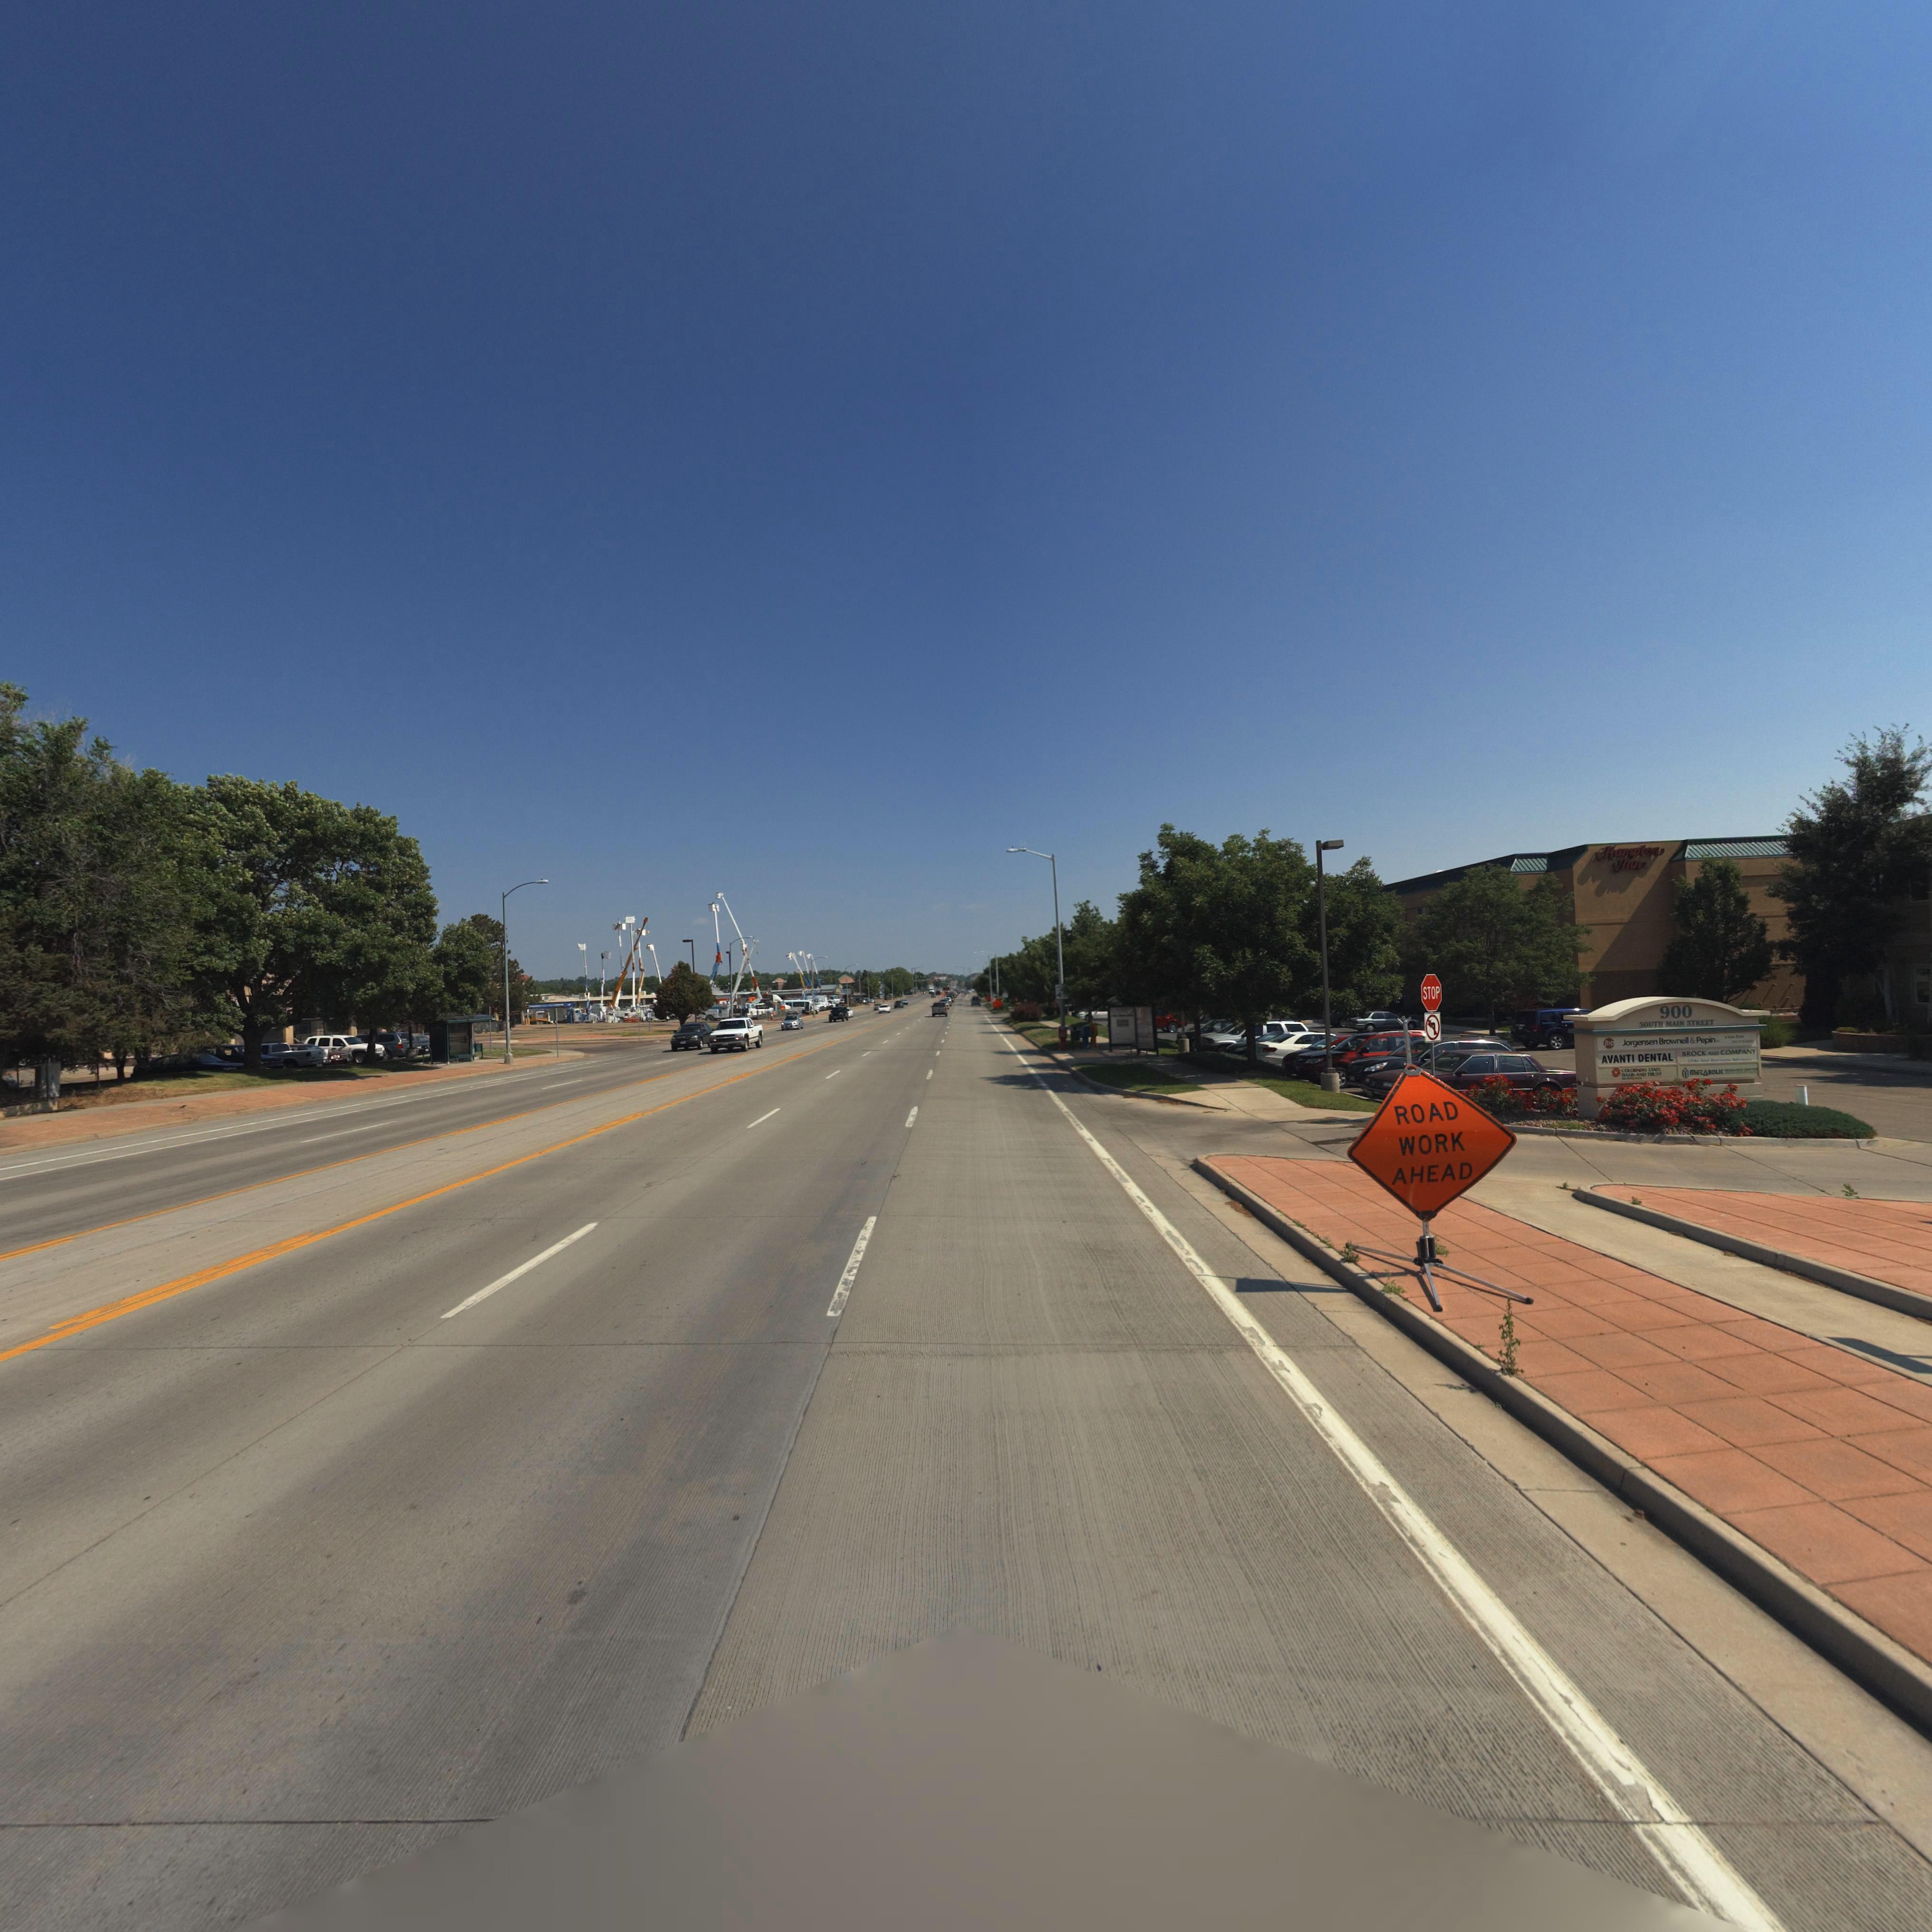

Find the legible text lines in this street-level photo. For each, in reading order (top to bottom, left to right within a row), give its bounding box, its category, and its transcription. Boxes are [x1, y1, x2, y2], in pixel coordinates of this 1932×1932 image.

[1594, 844, 1667, 865] BusinessName: Hampton
[1611, 858, 1649, 873] BusinessName: Inn
[1659, 1005, 1692, 1019] StreetNumber: 900
[1637, 1018, 1715, 1028] StreetName: SOUTH MAIN STREET
[1622, 1035, 1716, 1047] BusinessName: Jorgensen Brownell & Pepin
[1680, 1048, 1758, 1057] BusinessName: BROCK AND COMPANY
[1601, 1053, 1674, 1064] BusinessName: AVANTI DENTAL
[1687, 1059, 1699, 1063] BusinessName: CPAs
[1621, 1067, 1661, 1072] BusinessName: COLORADO STATE
[1621, 1072, 1662, 1077] BusinessName: BANK AND TRUST
[1689, 1068, 1724, 1076] BusinessName: METABOLIC